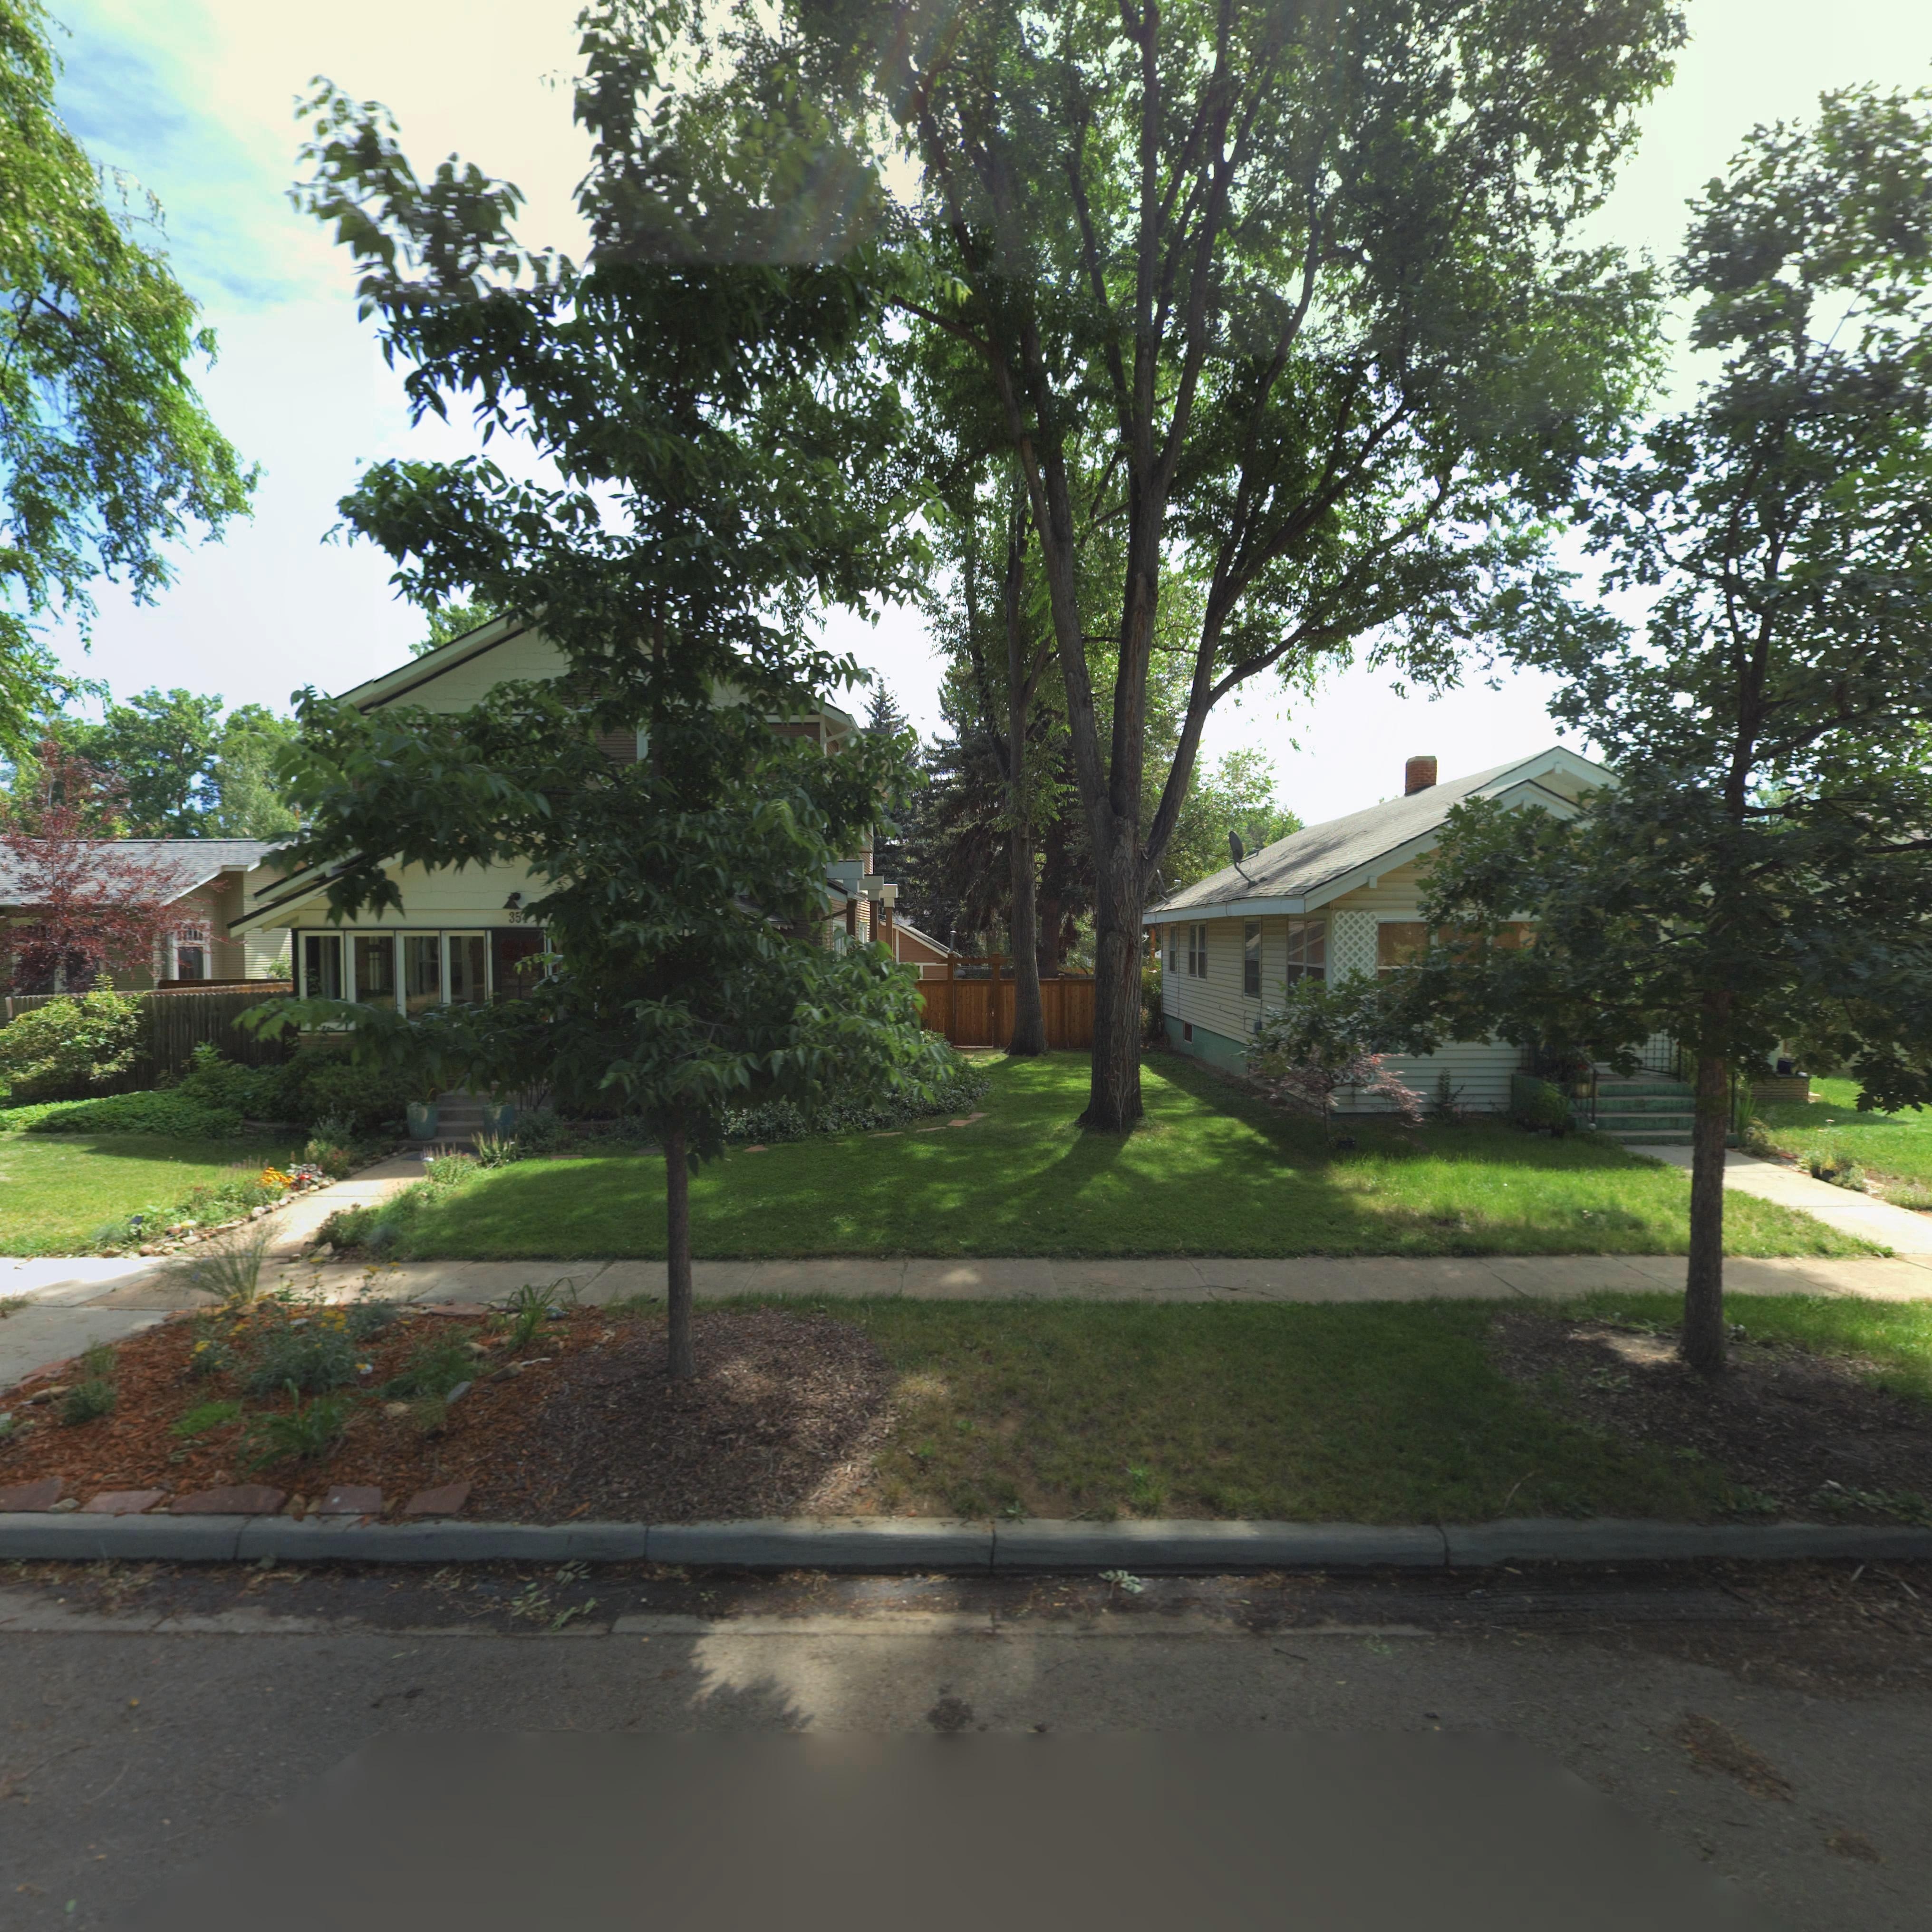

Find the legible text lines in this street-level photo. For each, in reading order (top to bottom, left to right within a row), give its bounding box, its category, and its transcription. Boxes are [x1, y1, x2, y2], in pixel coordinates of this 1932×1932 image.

[509, 911, 527, 923] StreetNumber: 354